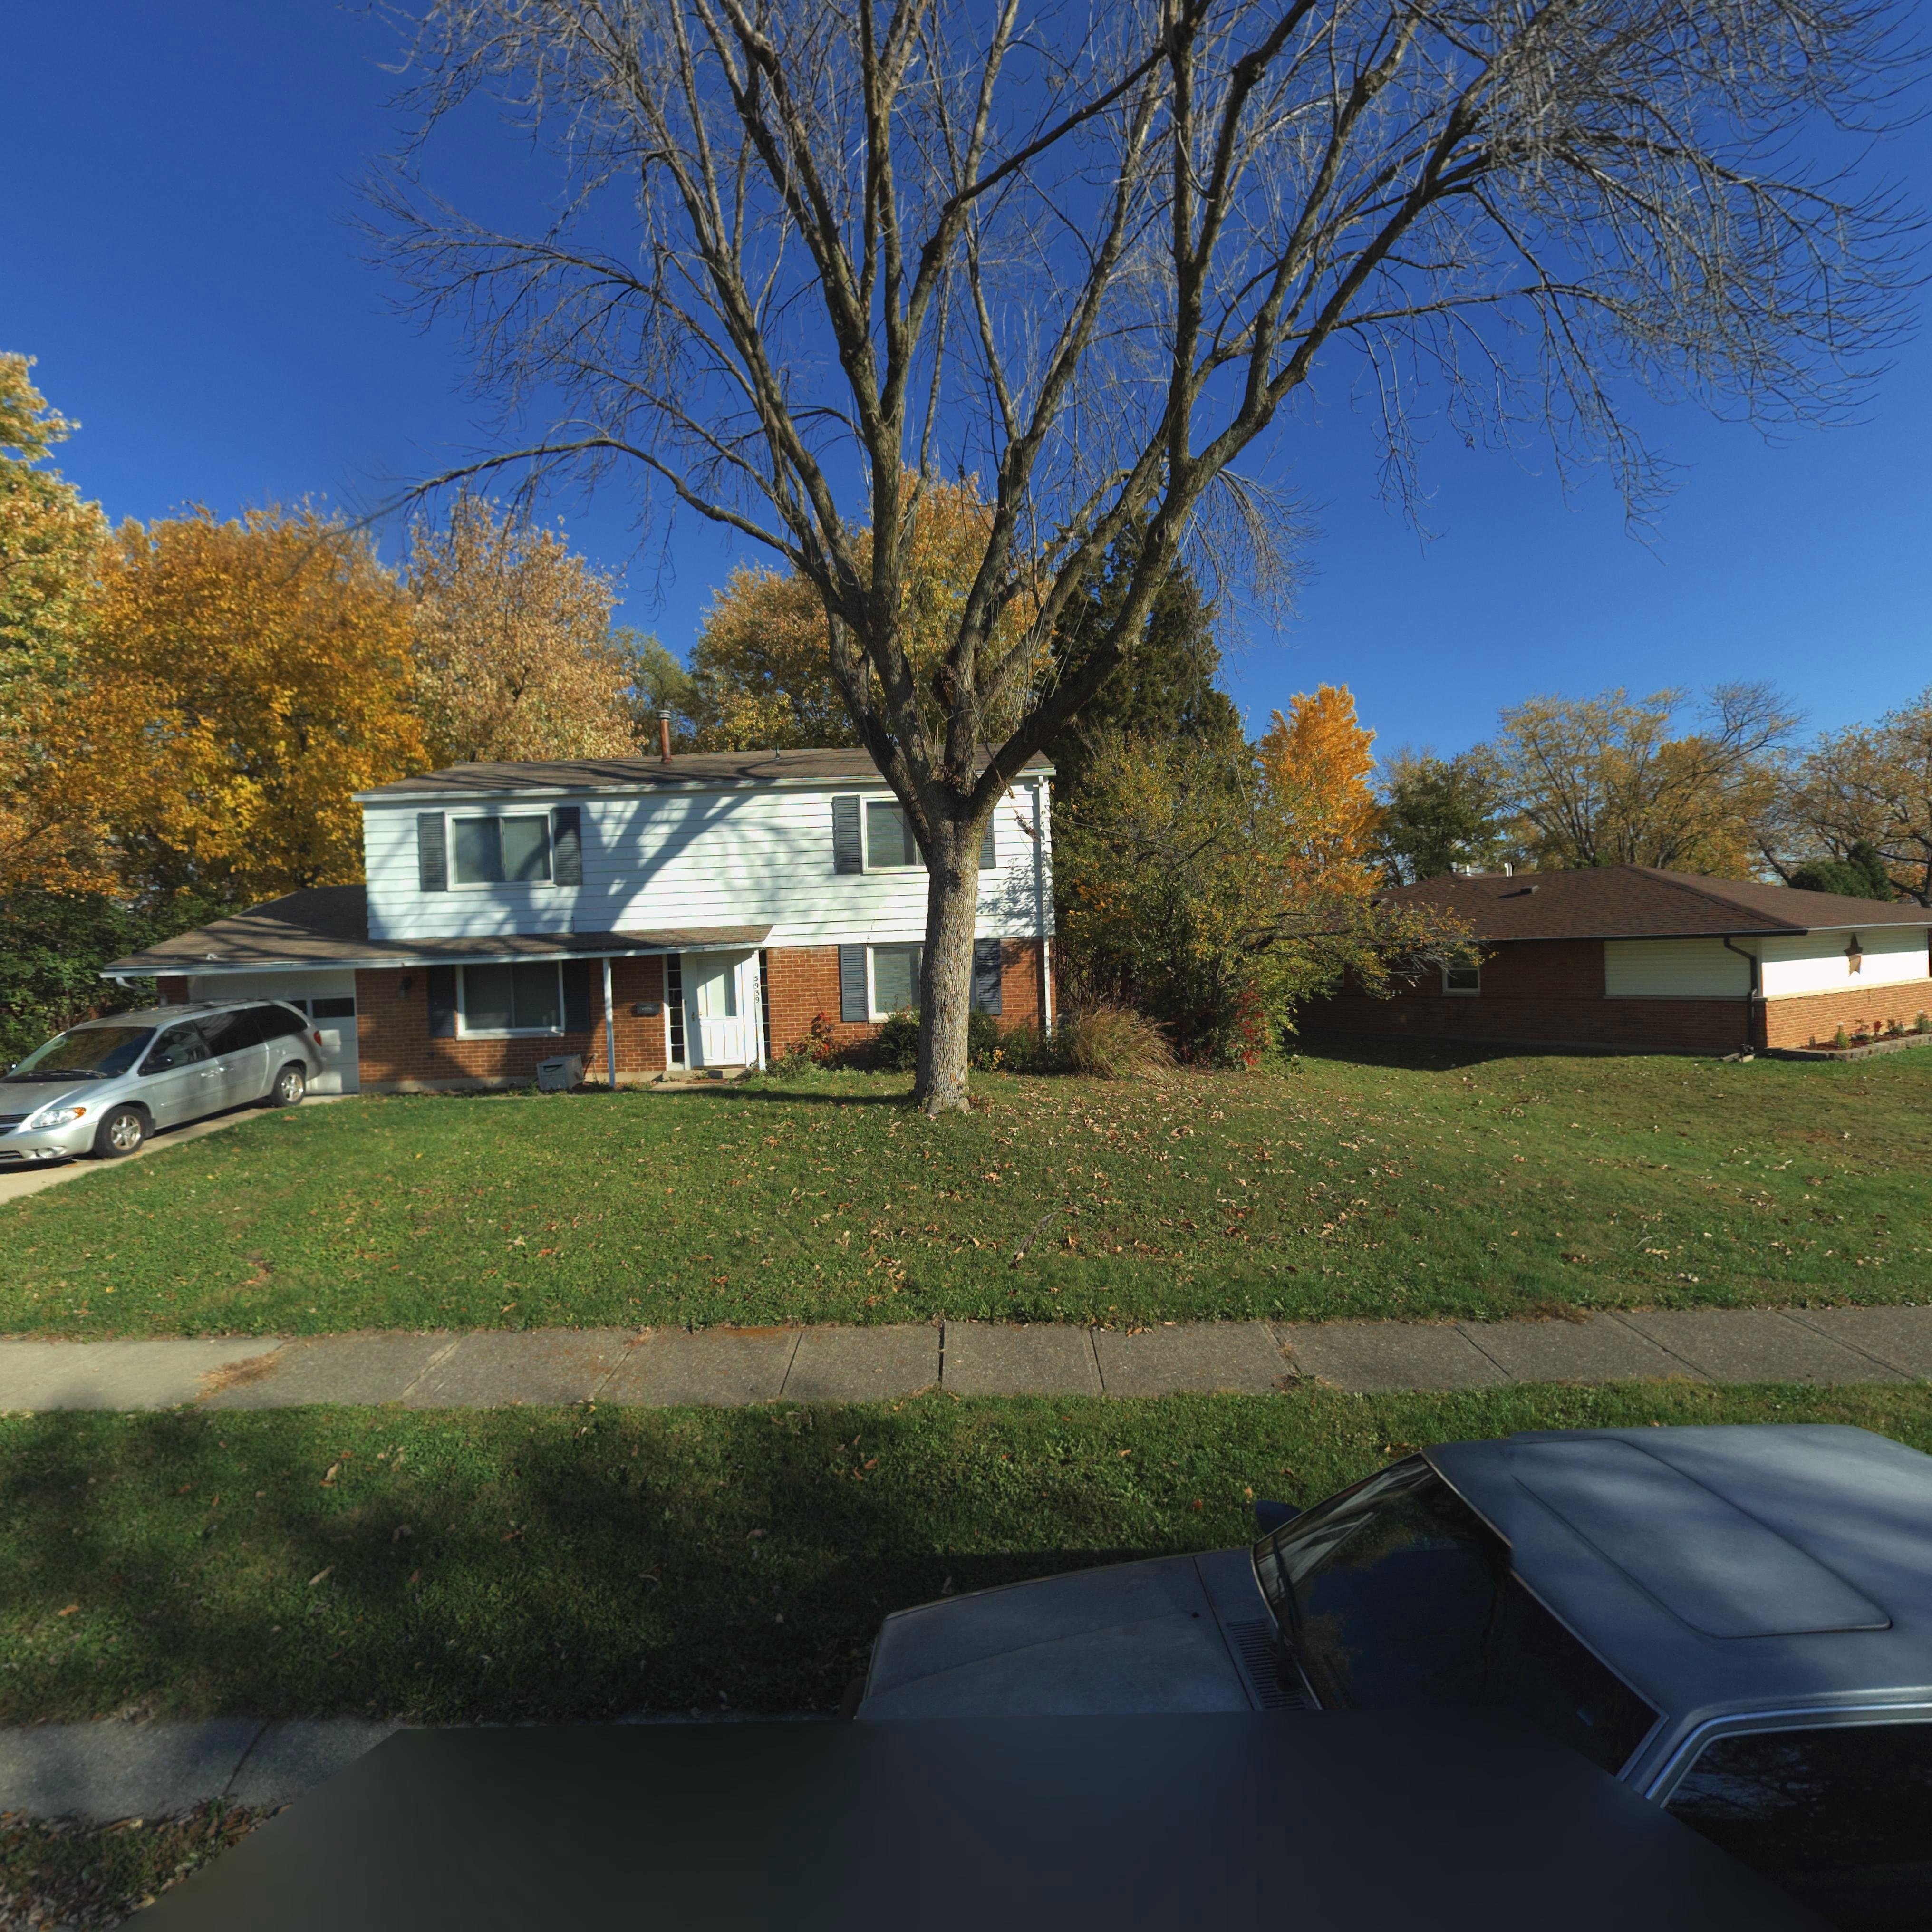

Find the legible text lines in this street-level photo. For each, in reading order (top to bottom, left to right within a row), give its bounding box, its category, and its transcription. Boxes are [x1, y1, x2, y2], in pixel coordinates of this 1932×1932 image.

[752, 975, 761, 1005] StreetNumber: 5939